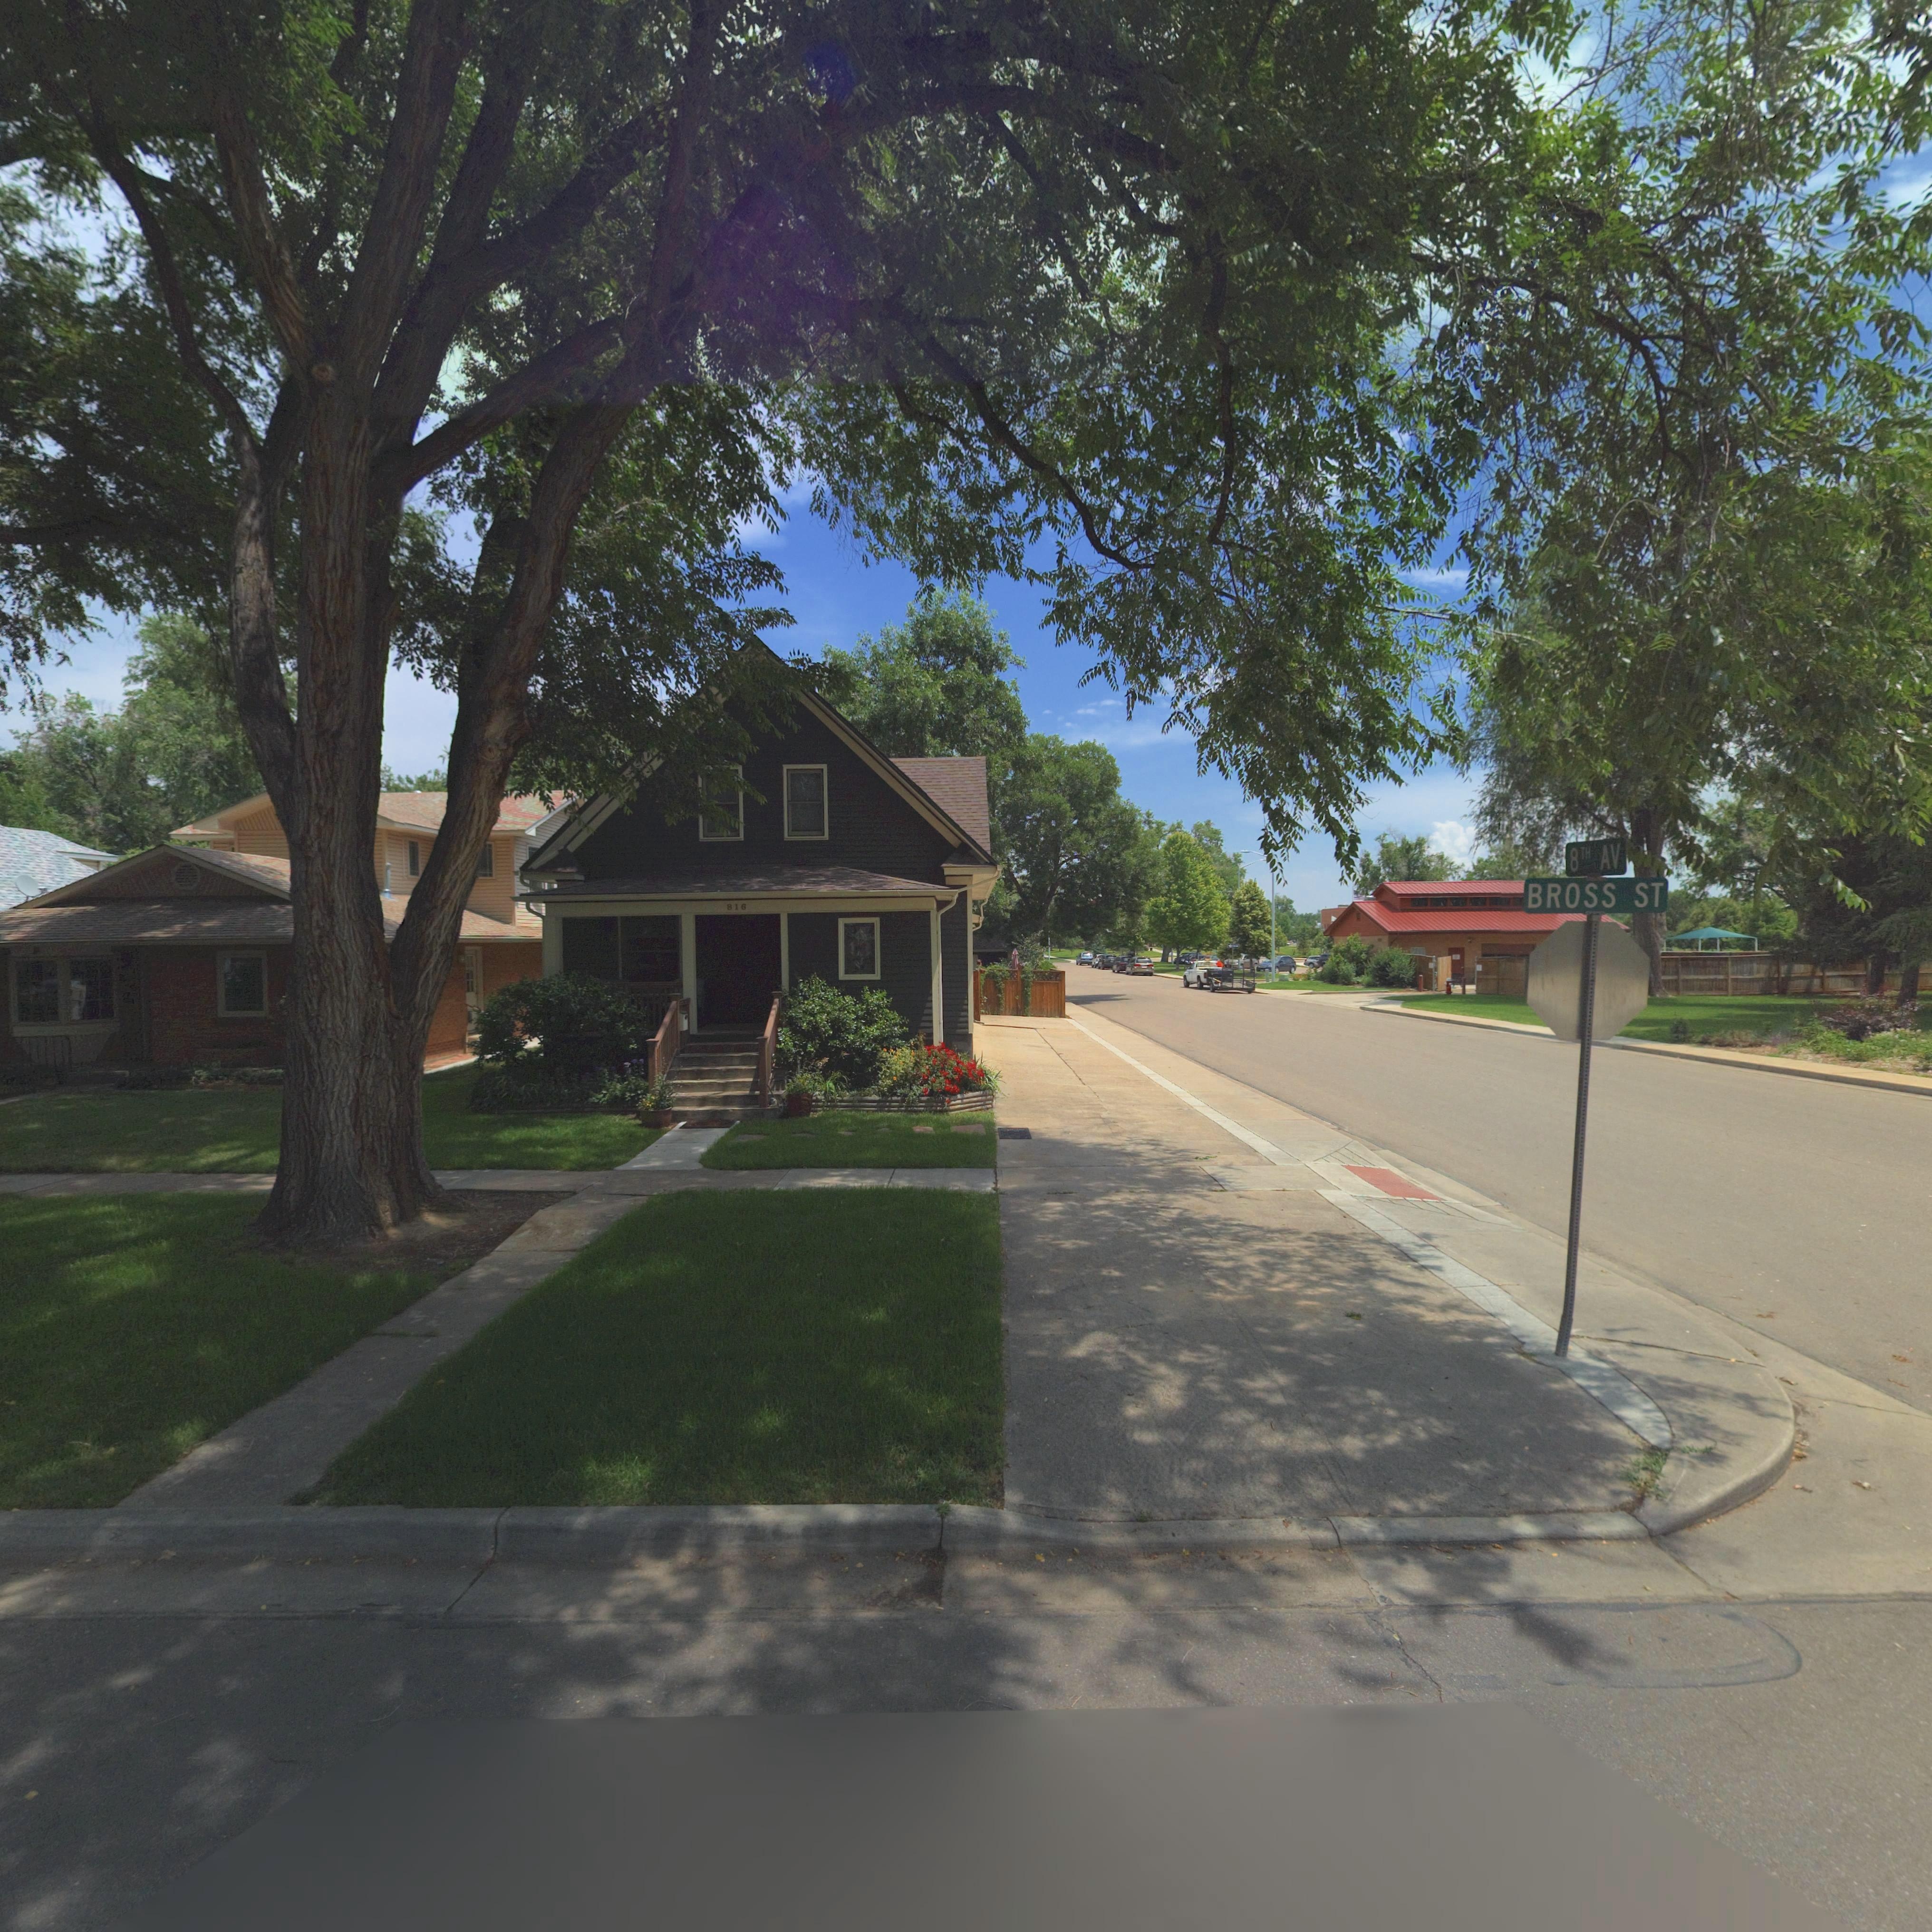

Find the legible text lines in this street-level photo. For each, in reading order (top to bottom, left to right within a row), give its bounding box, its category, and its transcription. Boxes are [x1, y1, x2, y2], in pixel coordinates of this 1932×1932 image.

[1569, 841, 1623, 873] StreetName: *TH AV
[726, 903, 746, 910] StreetNumber: 816
[1526, 881, 1664, 909] StreetName: BROSS ST